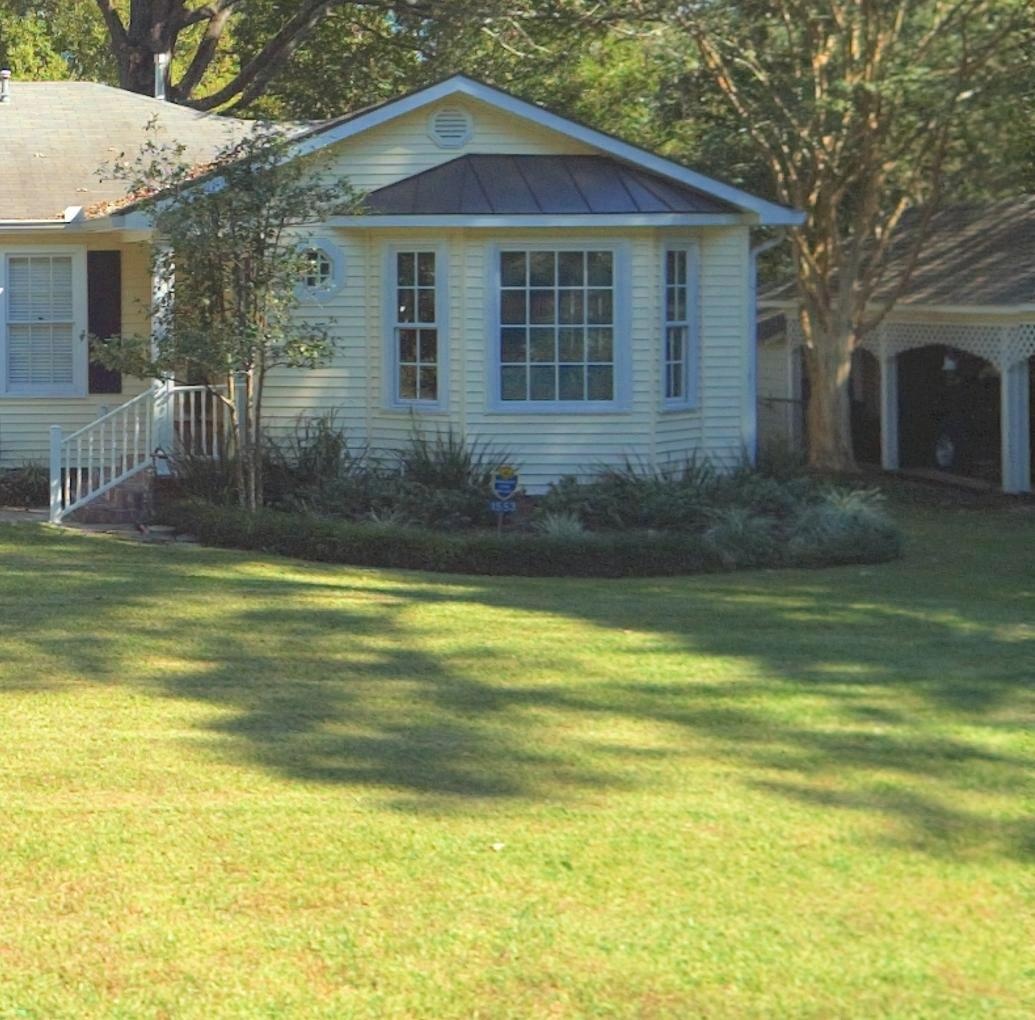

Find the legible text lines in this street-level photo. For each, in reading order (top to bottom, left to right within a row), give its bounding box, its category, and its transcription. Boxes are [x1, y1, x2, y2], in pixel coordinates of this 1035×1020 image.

[490, 501, 517, 512] StreetNumber: 1553